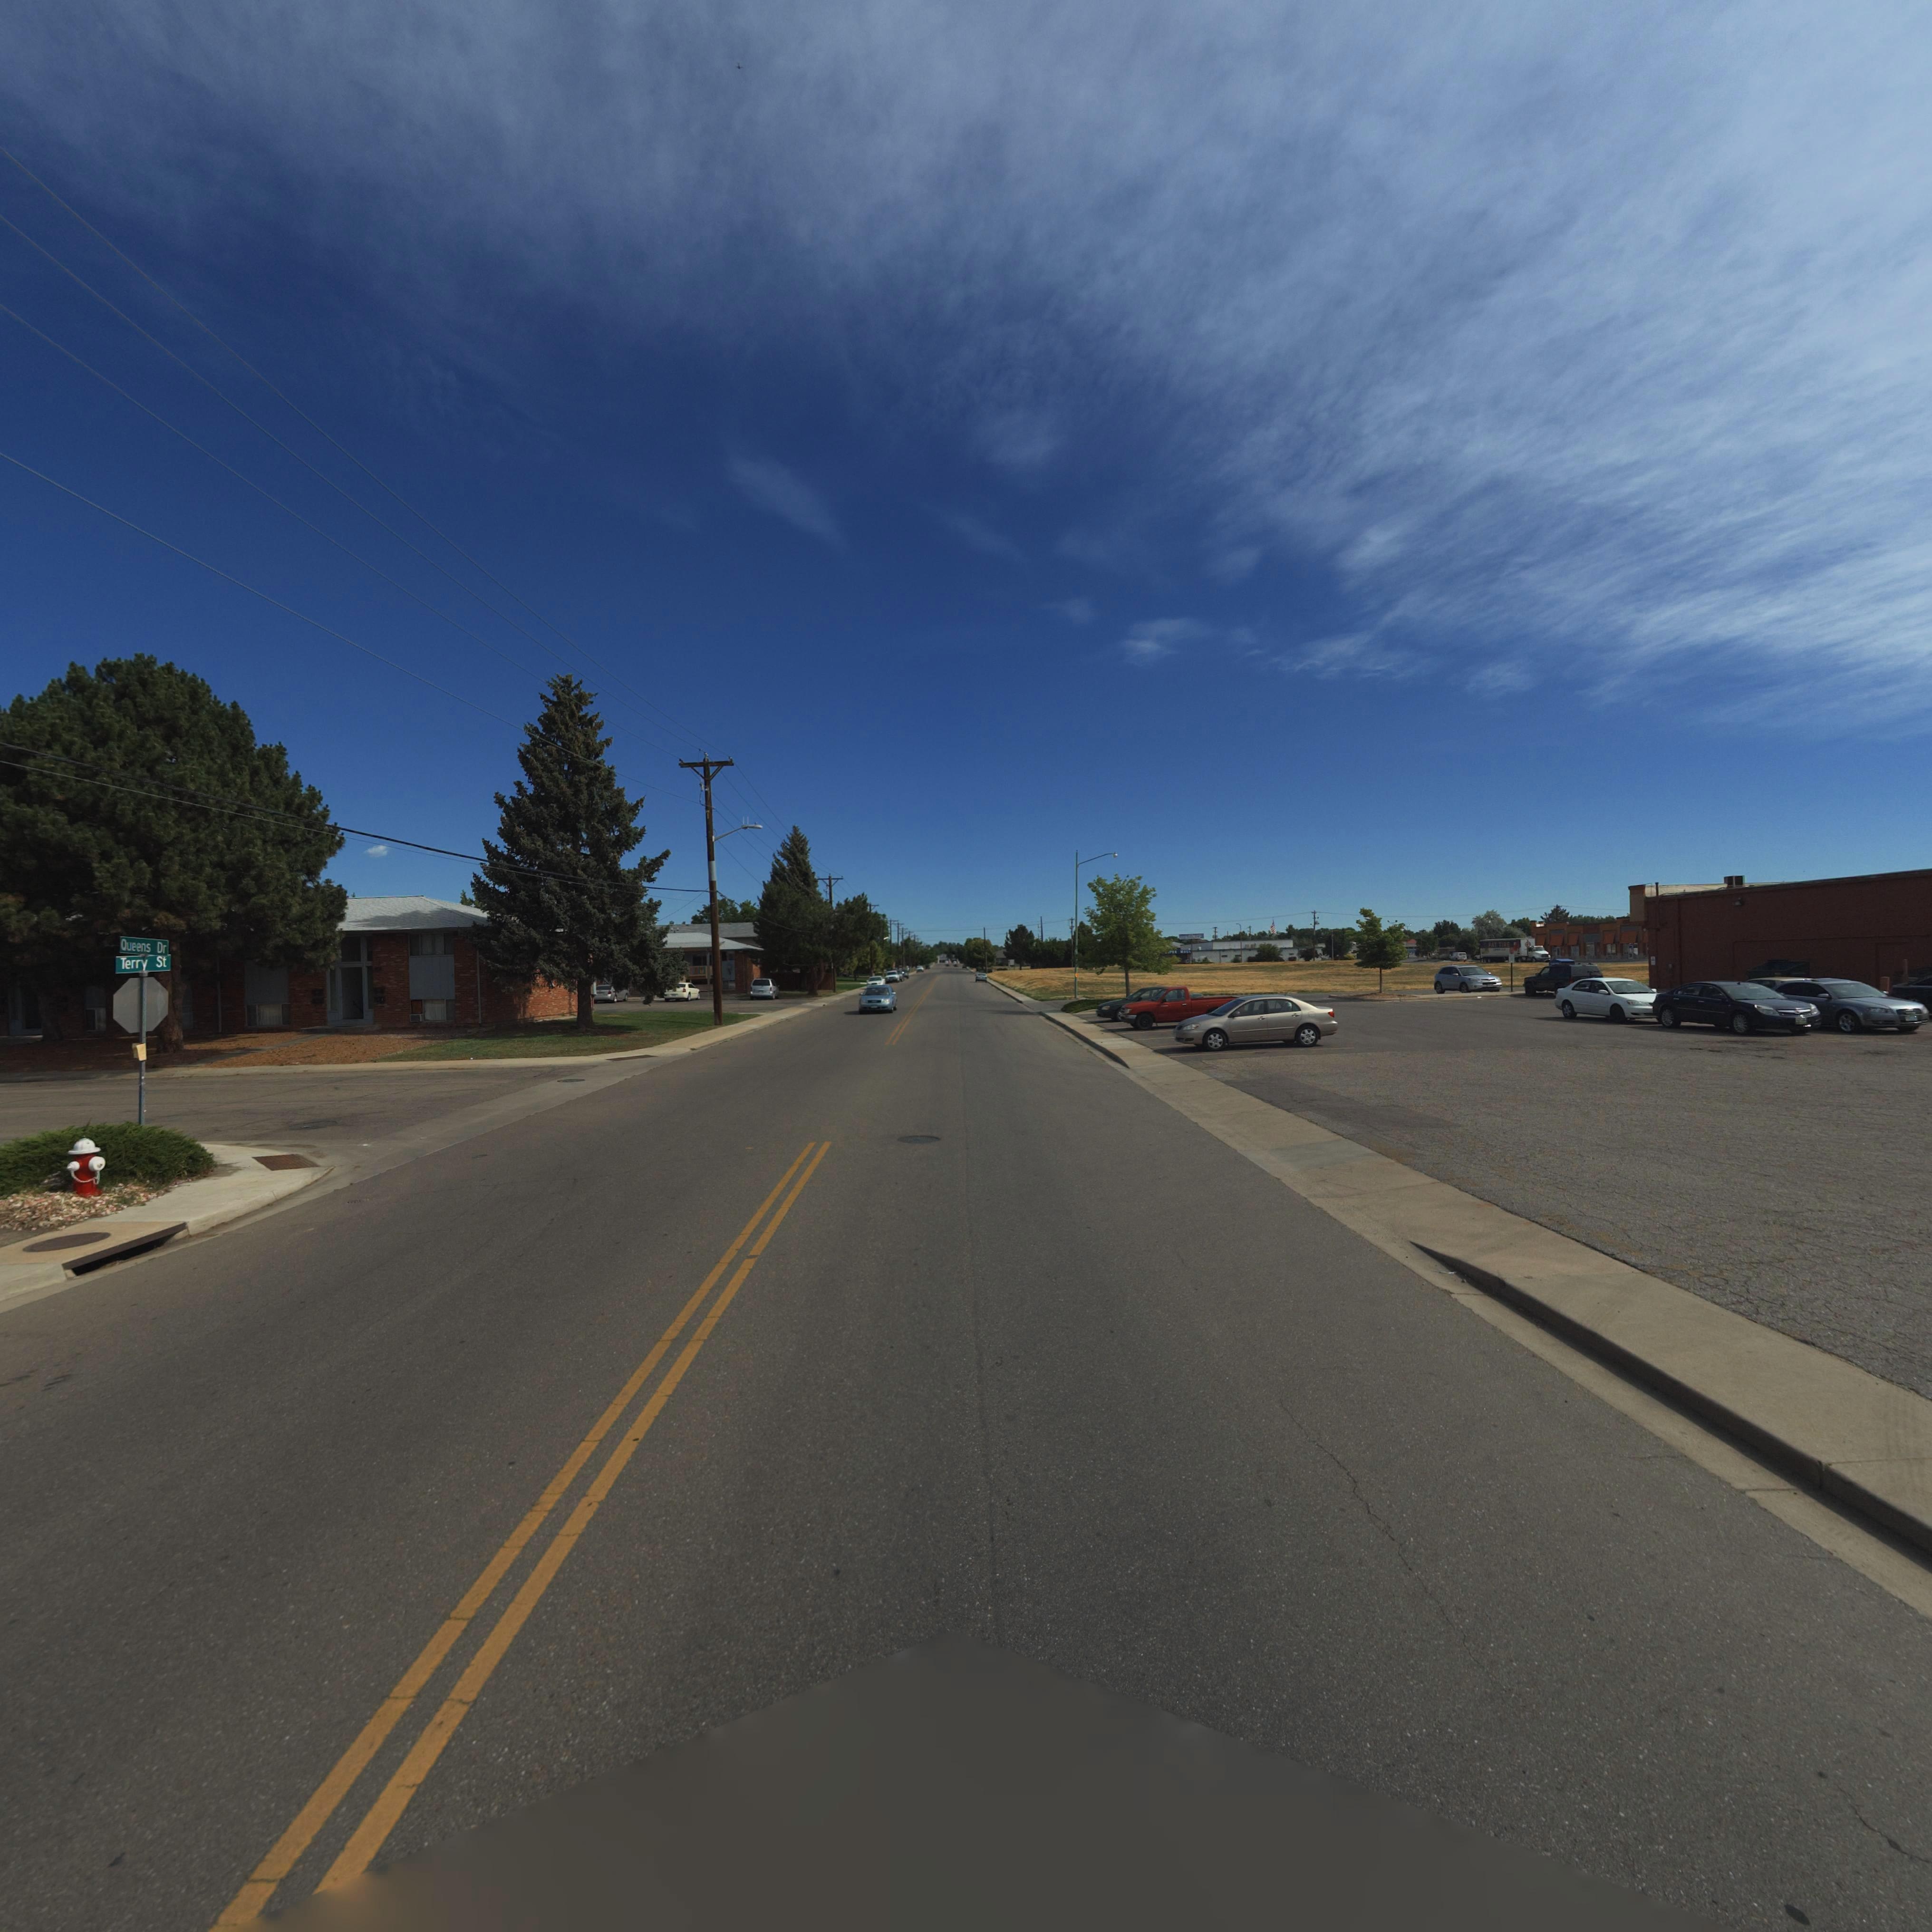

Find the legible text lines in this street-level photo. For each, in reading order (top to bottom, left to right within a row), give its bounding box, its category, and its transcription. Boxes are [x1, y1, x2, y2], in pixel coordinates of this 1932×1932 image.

[120, 938, 167, 954] StreetName: Queens Dr
[1169, 950, 1191, 954] BusinessName: **R WA**
[119, 955, 167, 971] StreetName: Terry St